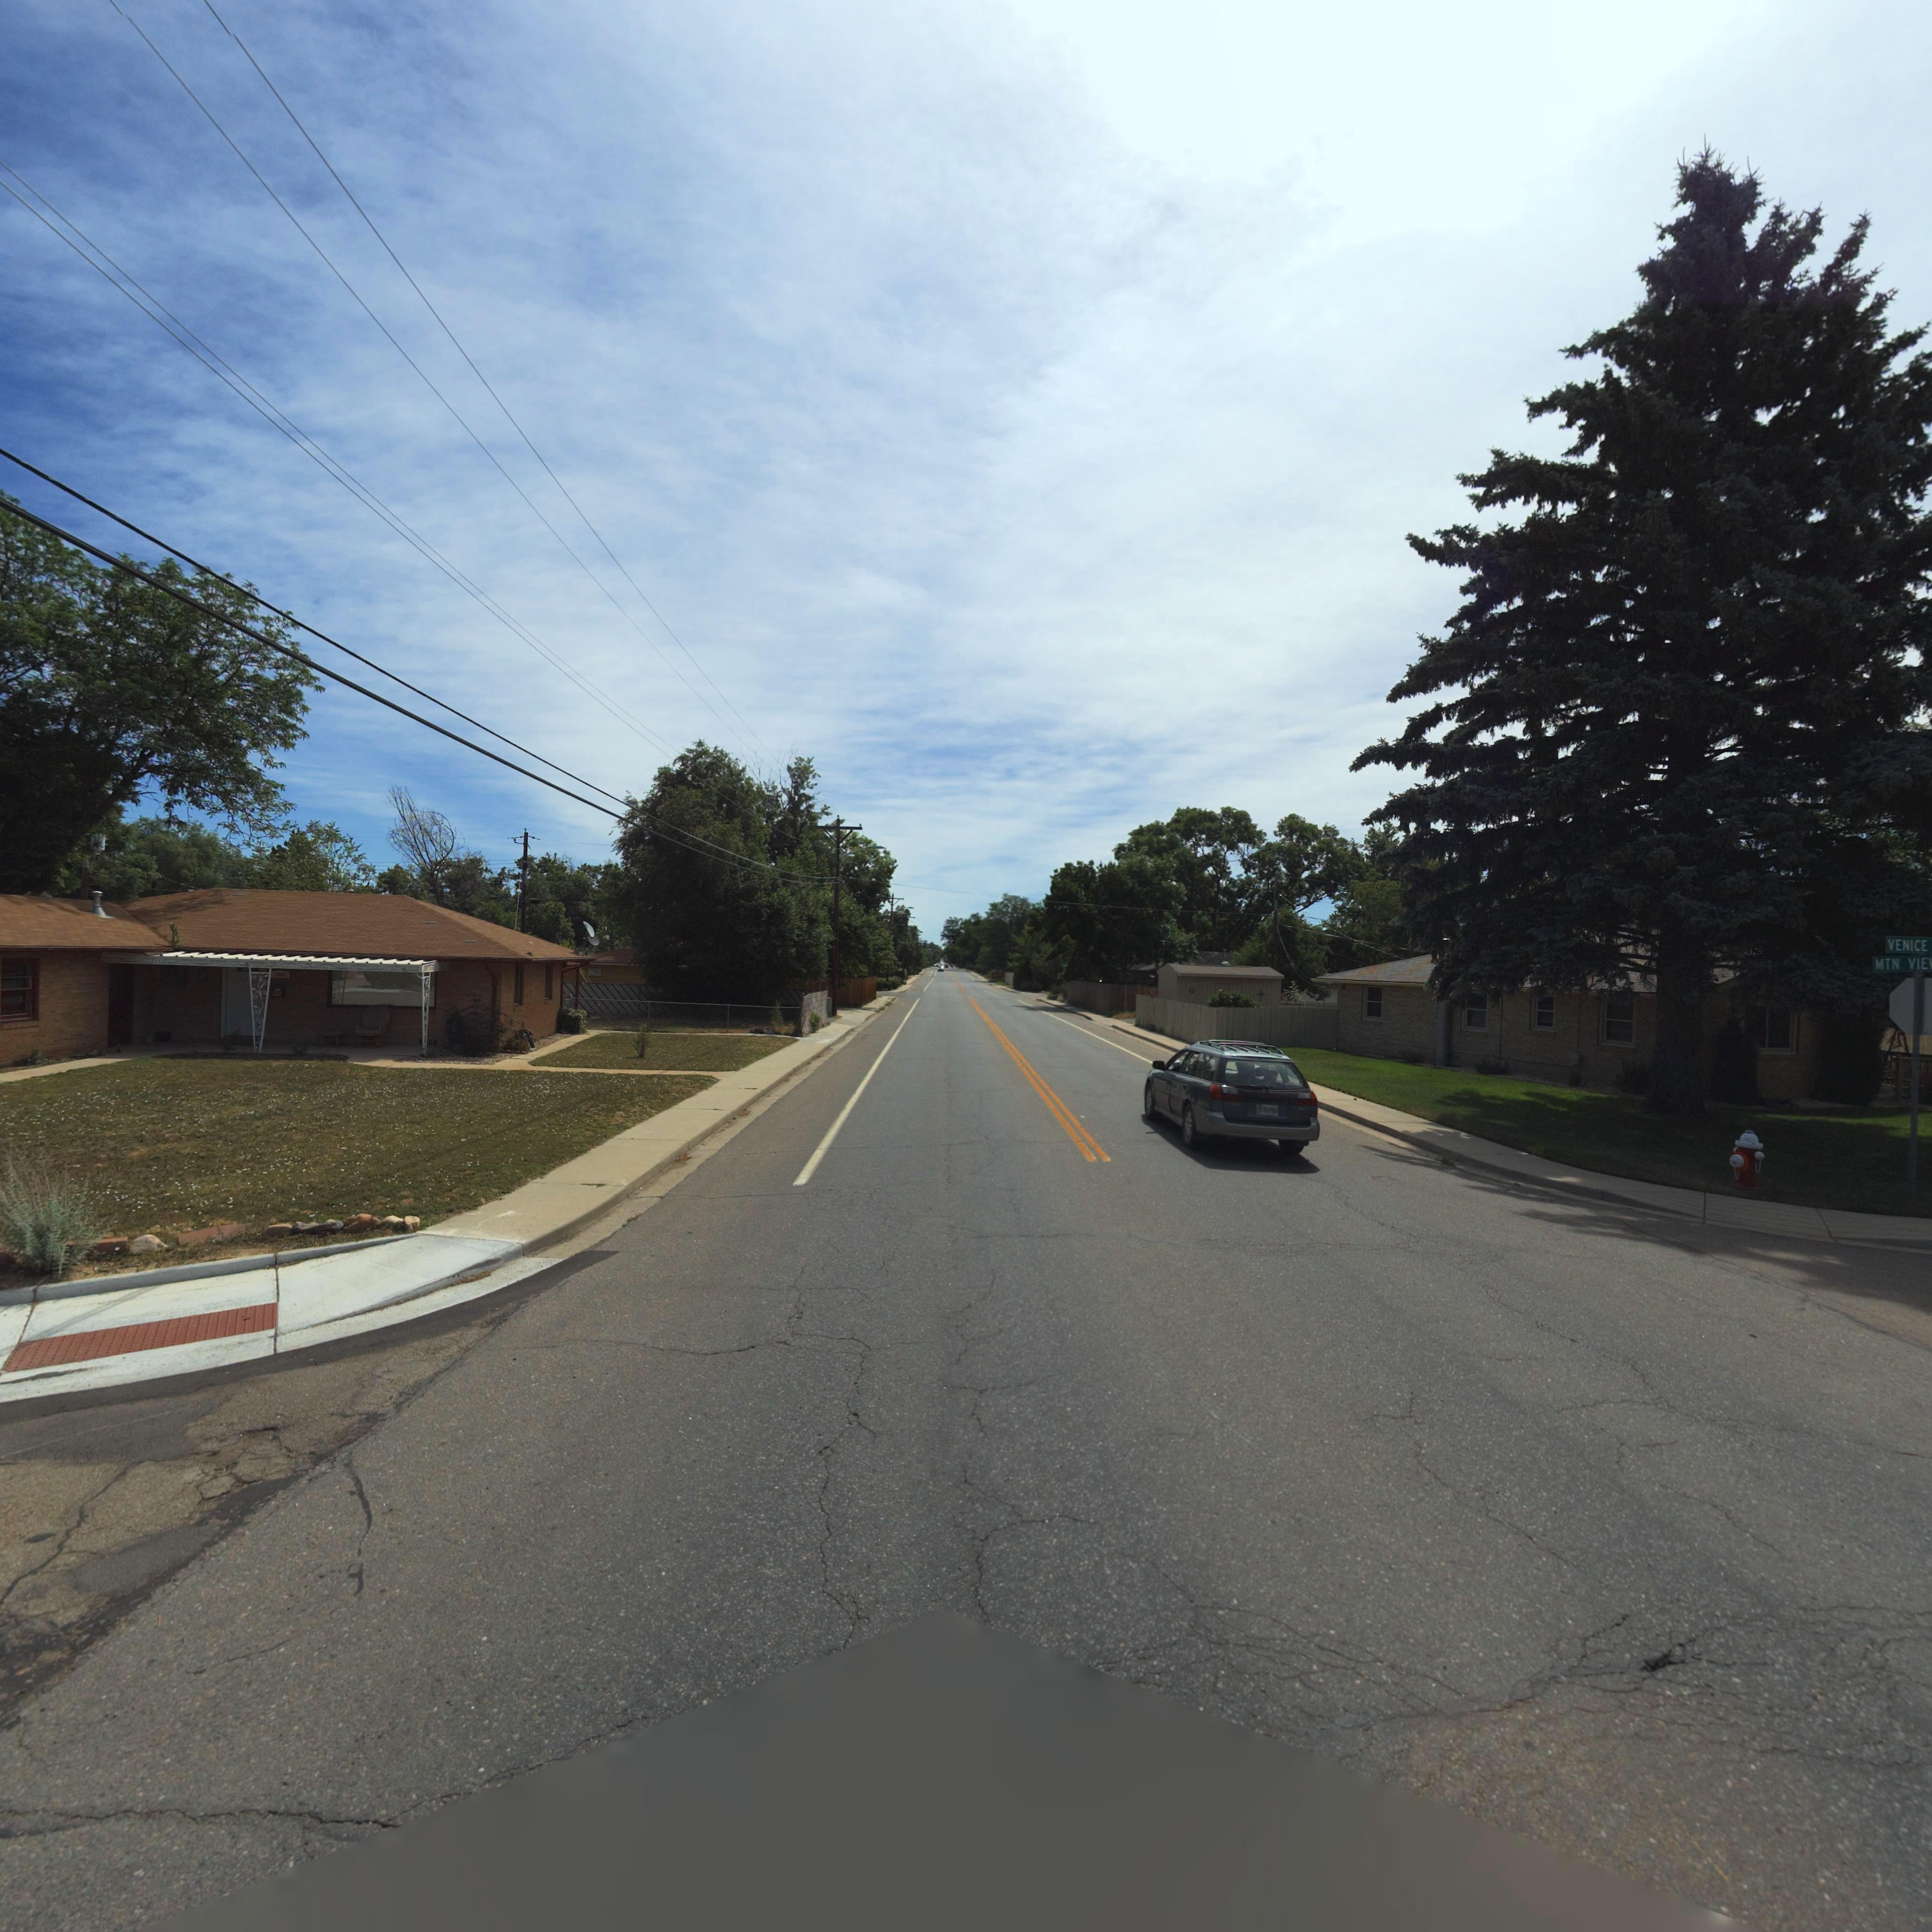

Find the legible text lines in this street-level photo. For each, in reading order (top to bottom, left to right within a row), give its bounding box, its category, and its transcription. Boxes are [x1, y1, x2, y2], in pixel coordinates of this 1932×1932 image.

[1886, 938, 1928, 952] StreetName: VENICE
[1874, 957, 1928, 970] StreetName: MTN VIE
[273, 971, 286, 977] StreetNumber: ***1